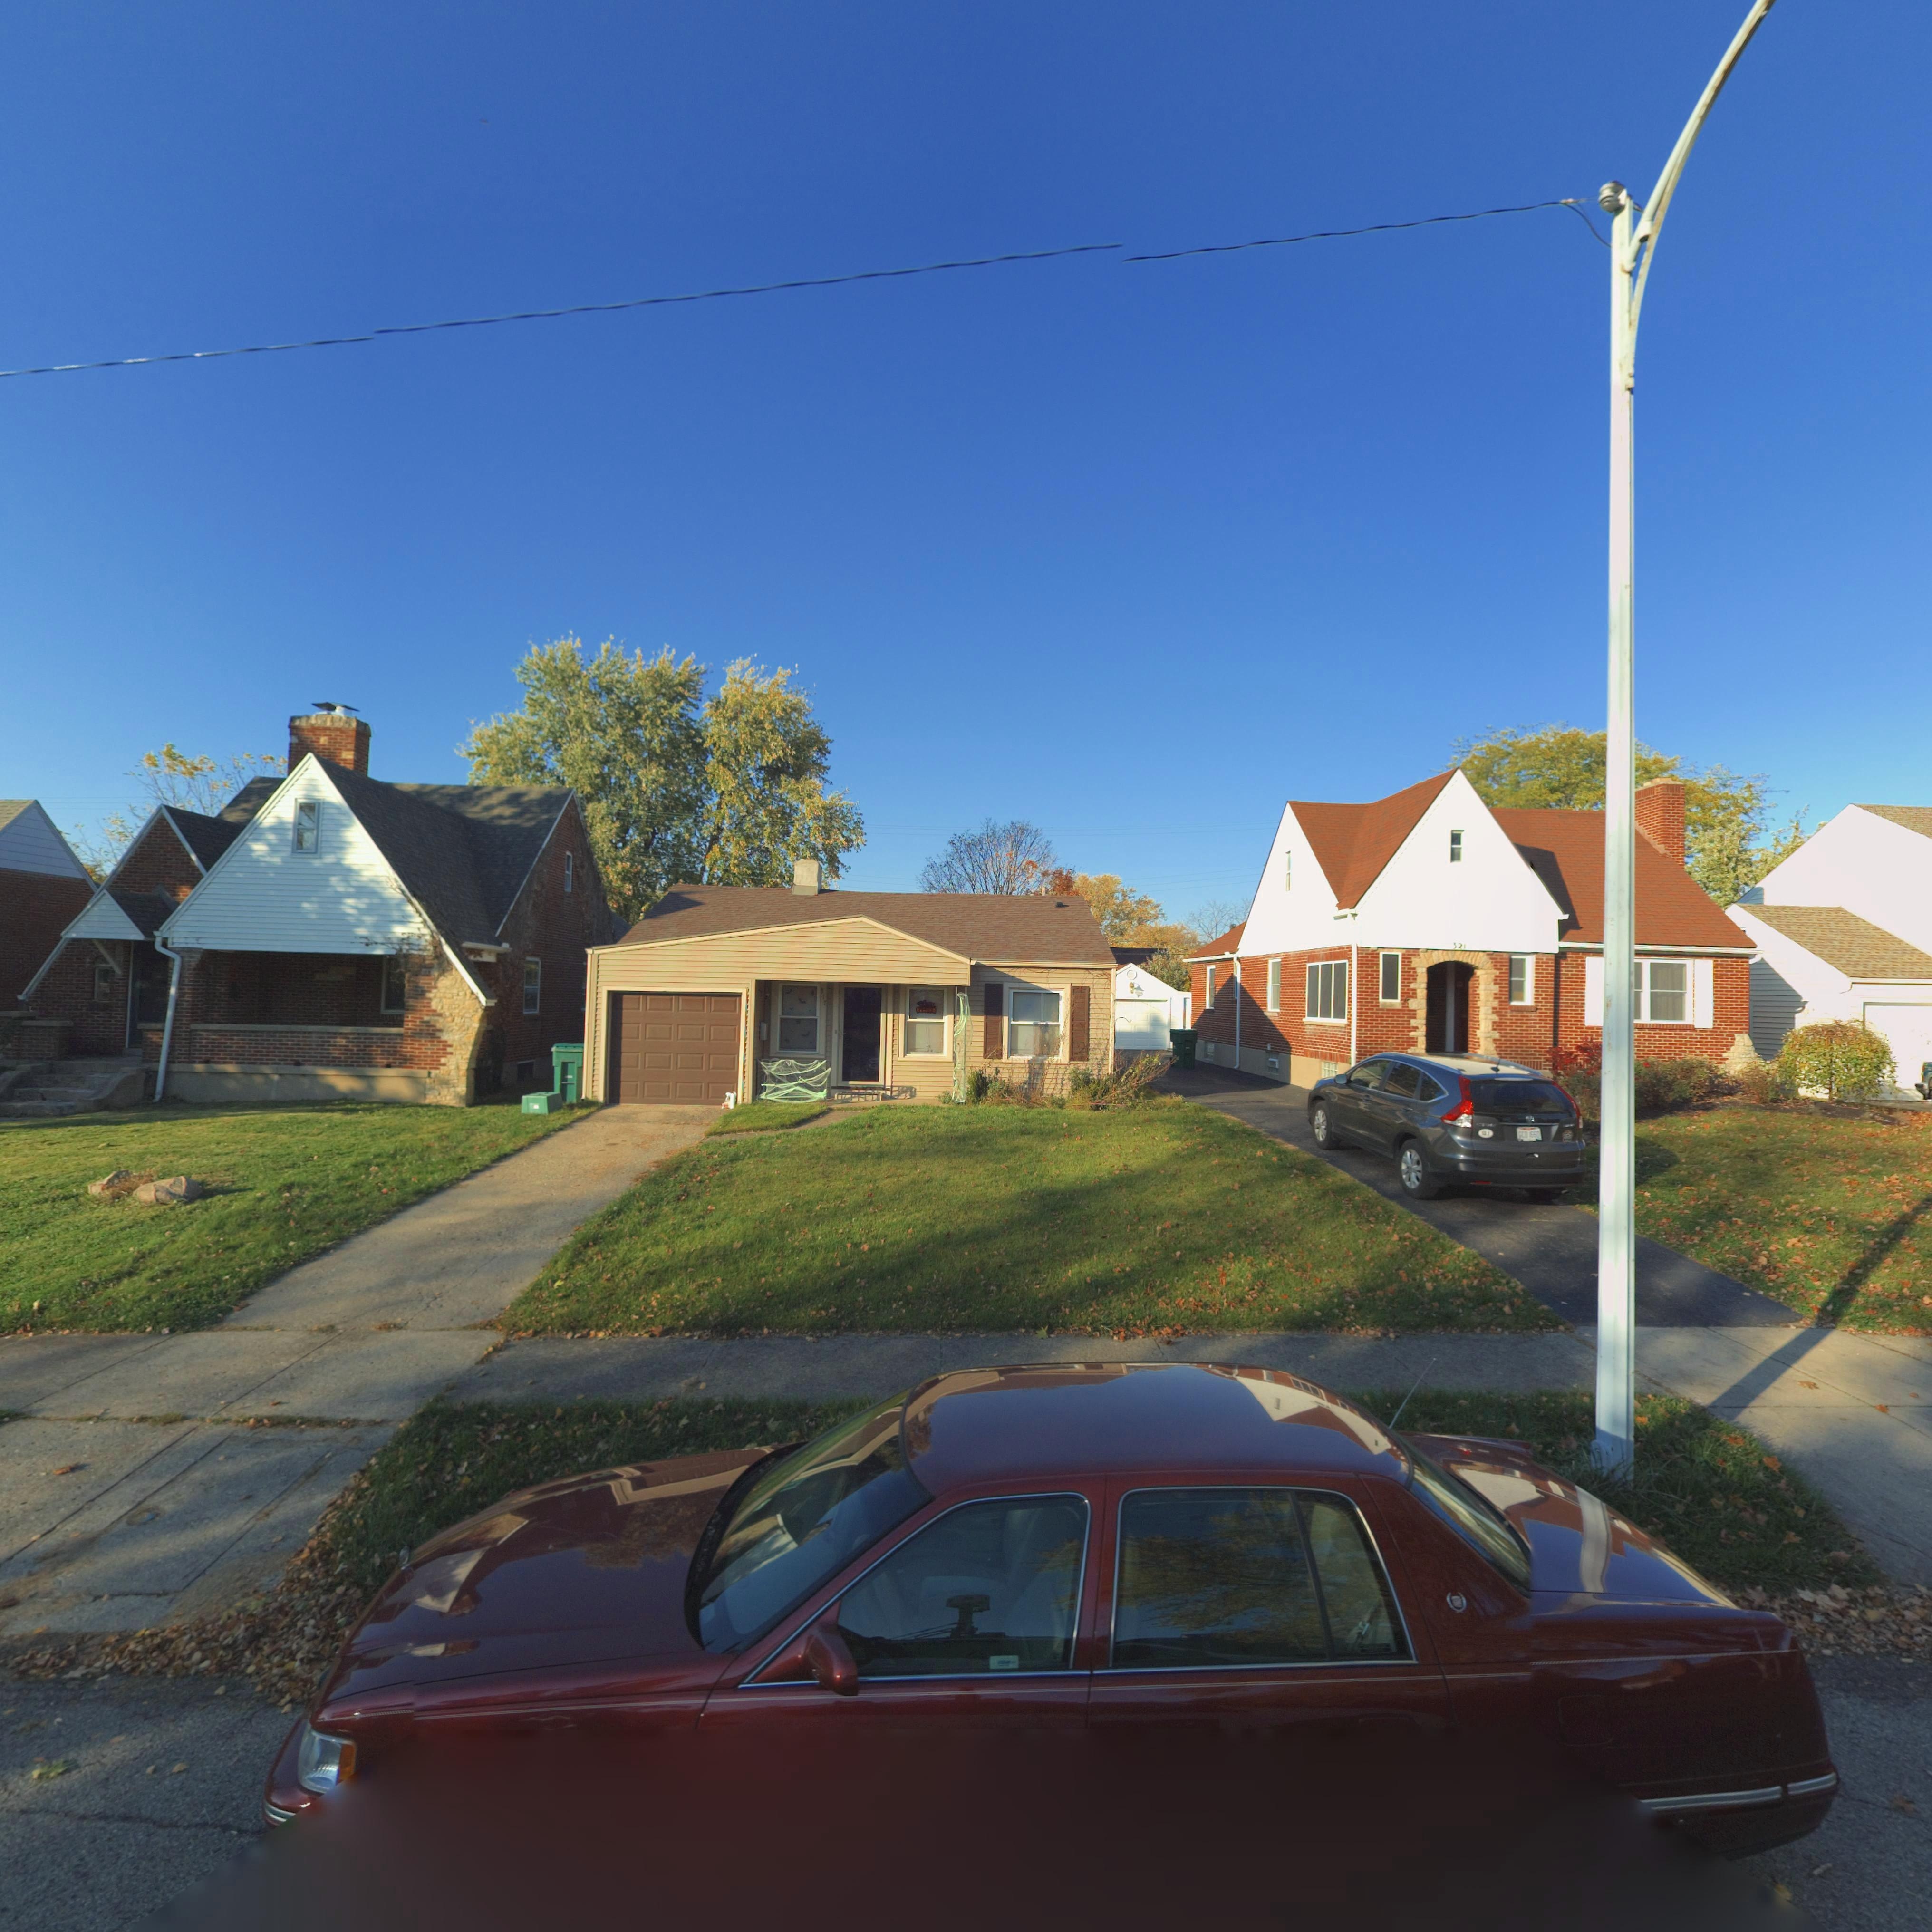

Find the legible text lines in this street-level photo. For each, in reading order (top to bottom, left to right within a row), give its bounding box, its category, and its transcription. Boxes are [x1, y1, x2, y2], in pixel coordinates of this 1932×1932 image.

[1451, 941, 1467, 950] StreetNumber: 321
[820, 987, 828, 1007] StreetNumber: *17